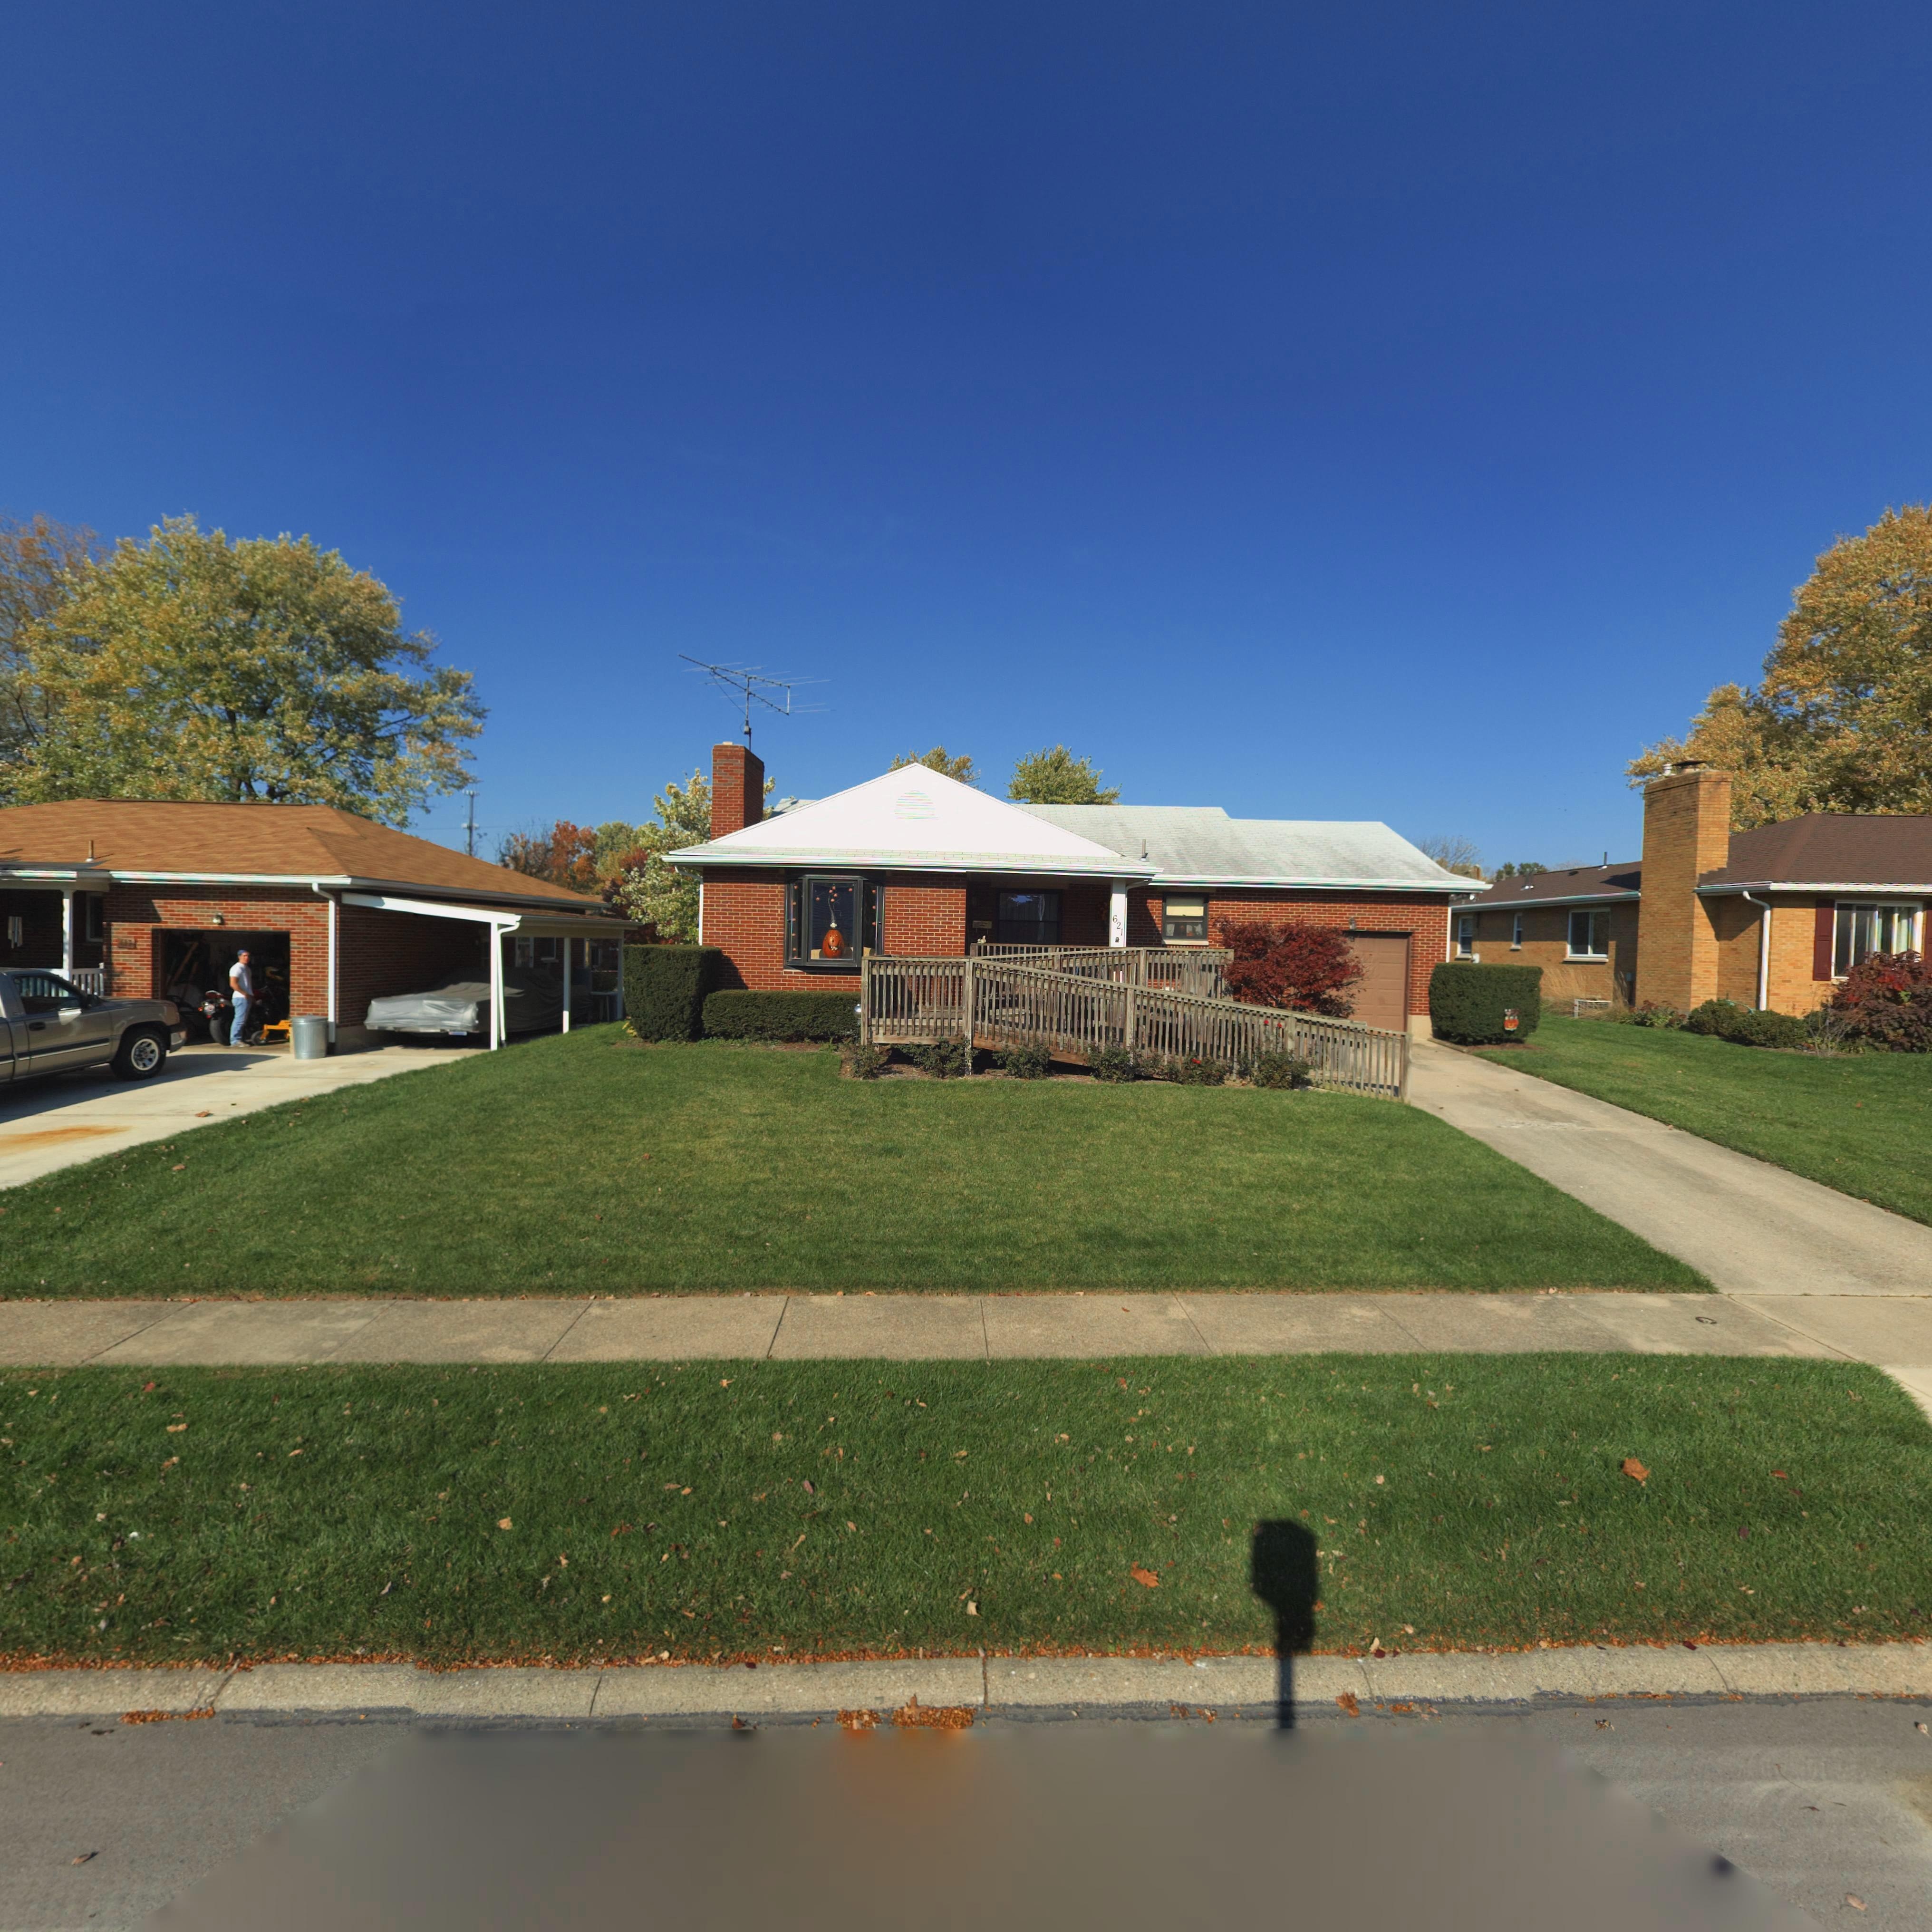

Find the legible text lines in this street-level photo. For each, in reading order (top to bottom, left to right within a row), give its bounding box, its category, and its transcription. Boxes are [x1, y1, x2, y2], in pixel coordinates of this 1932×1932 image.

[1111, 913, 1124, 937] StreetNumber: 621